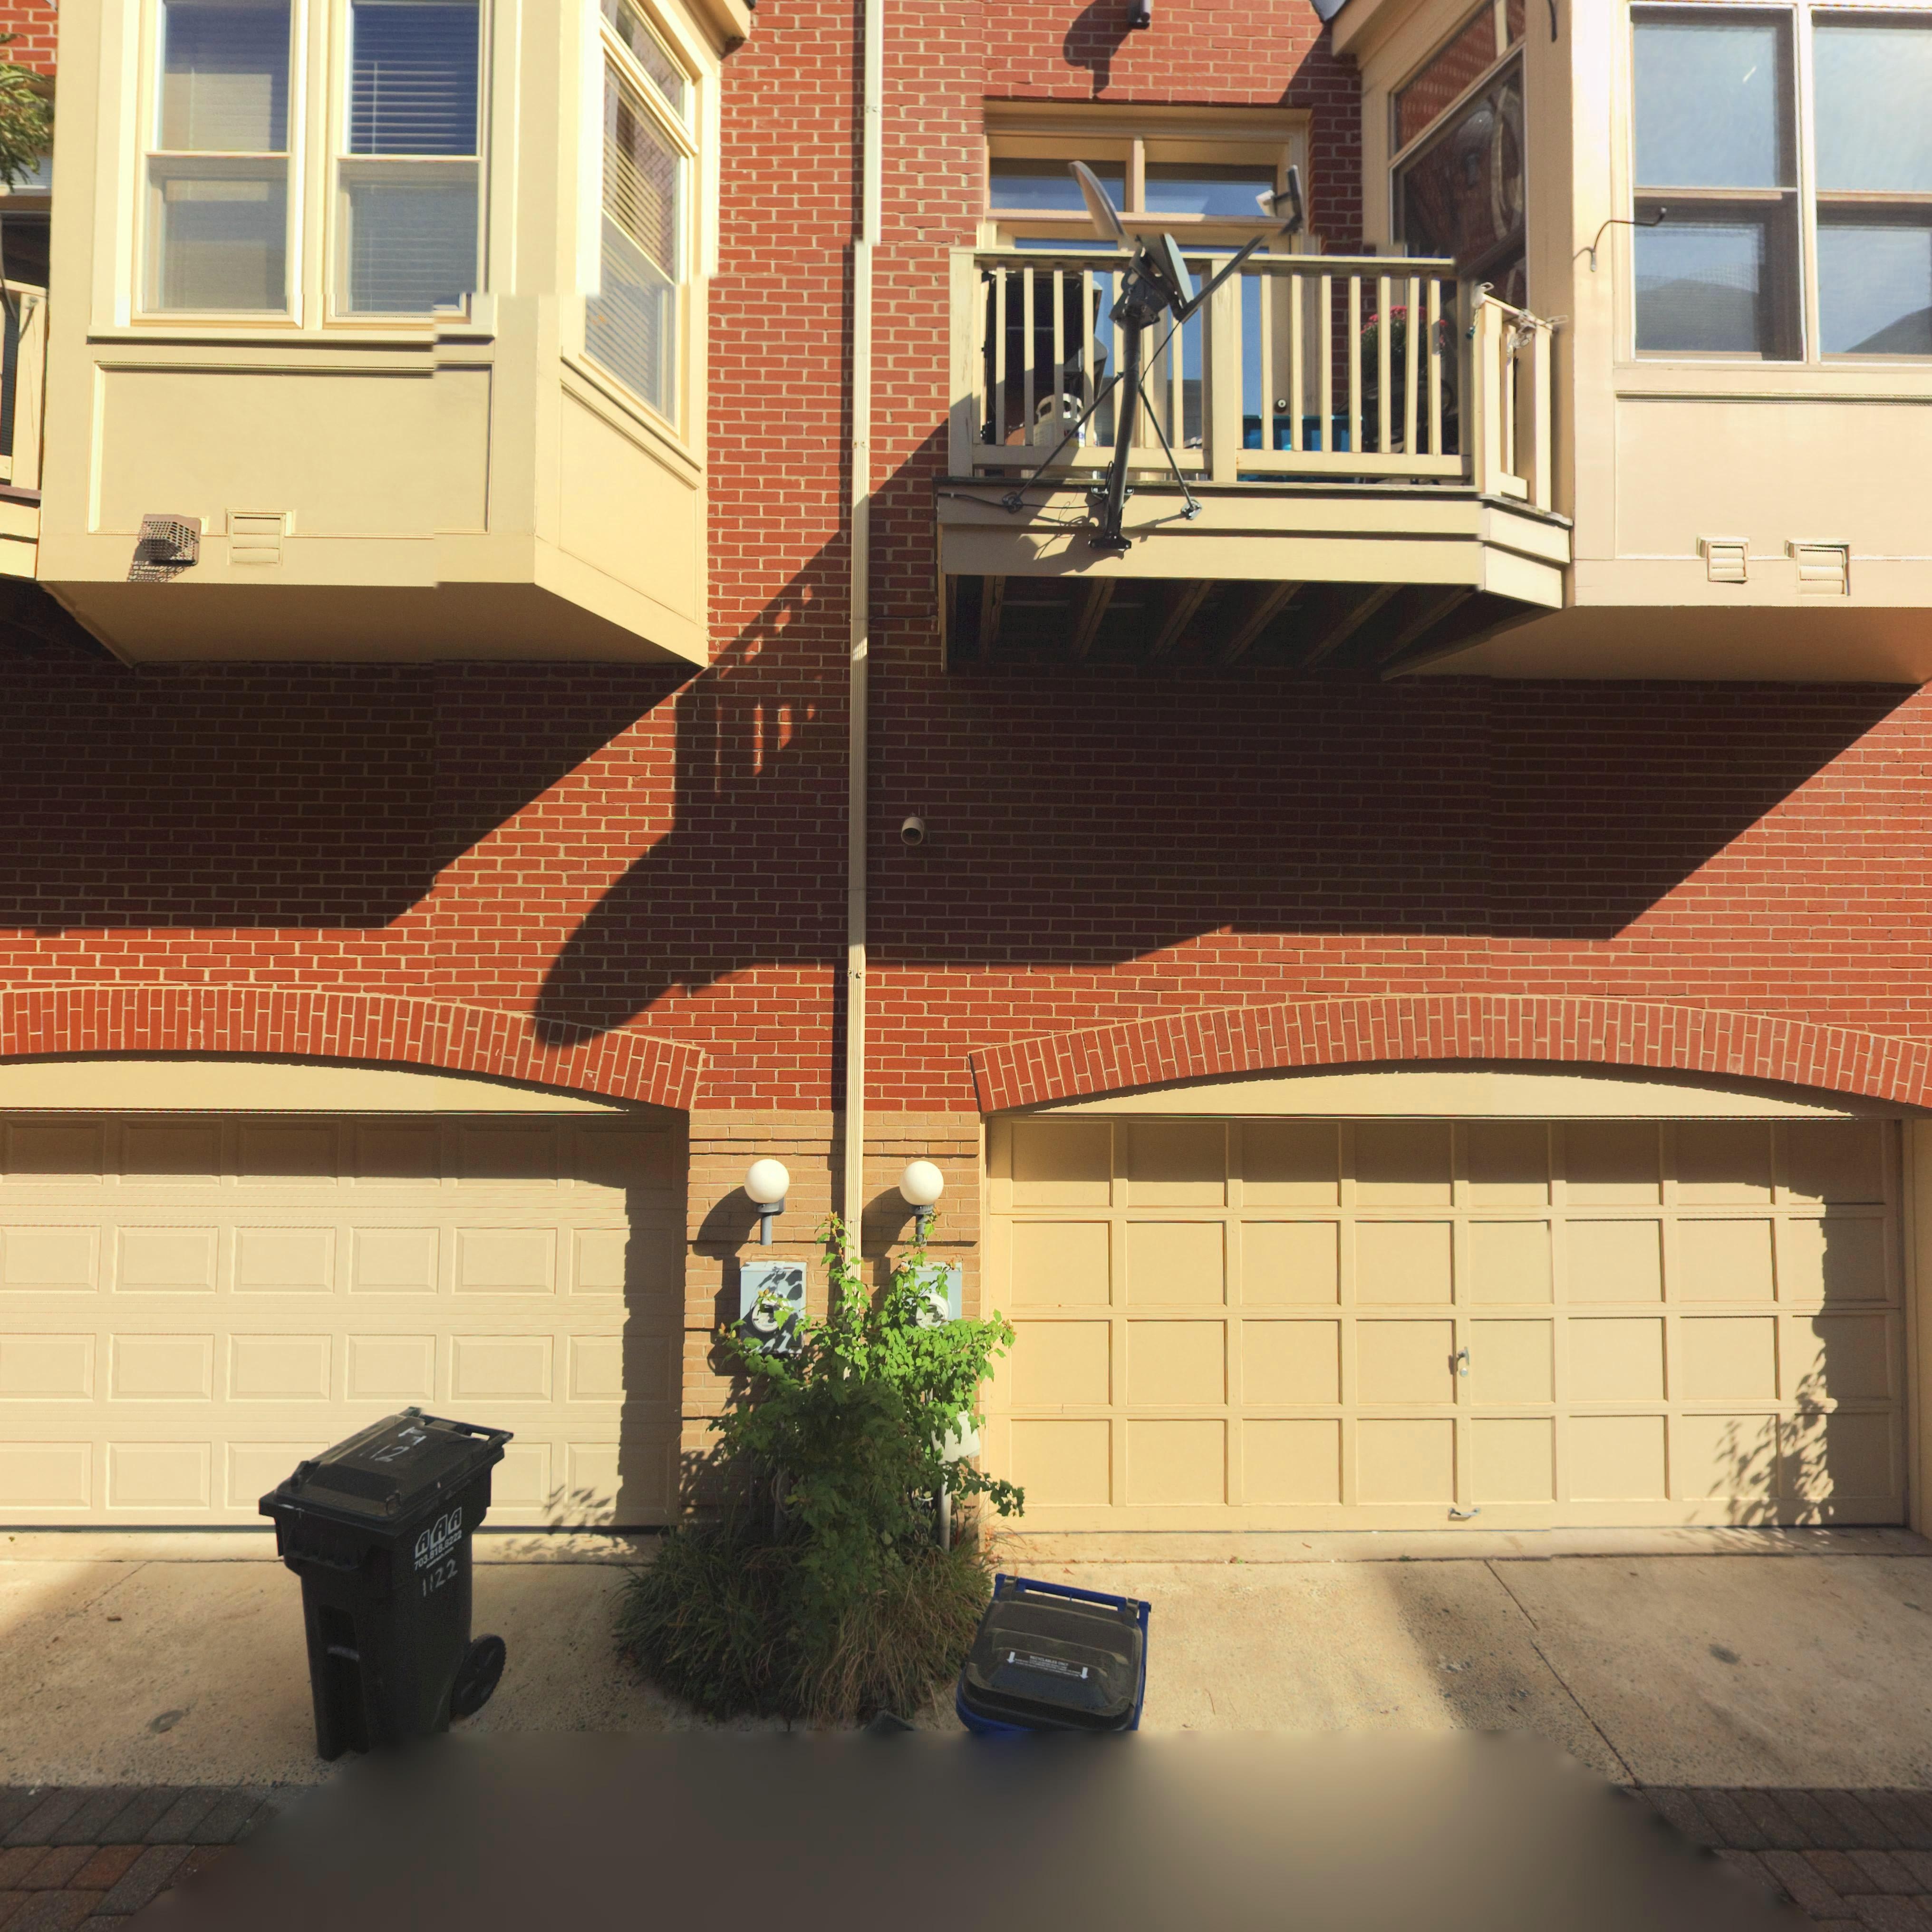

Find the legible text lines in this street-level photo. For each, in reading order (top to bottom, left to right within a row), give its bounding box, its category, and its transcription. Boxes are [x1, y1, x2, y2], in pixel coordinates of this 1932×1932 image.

[355, 1440, 411, 1464] StreetNumber: 112
[413, 1528, 462, 1573] None: 703.818.8222
[416, 1508, 461, 1554] None: AAA
[422, 1557, 458, 1600] StreetNumber: 1122